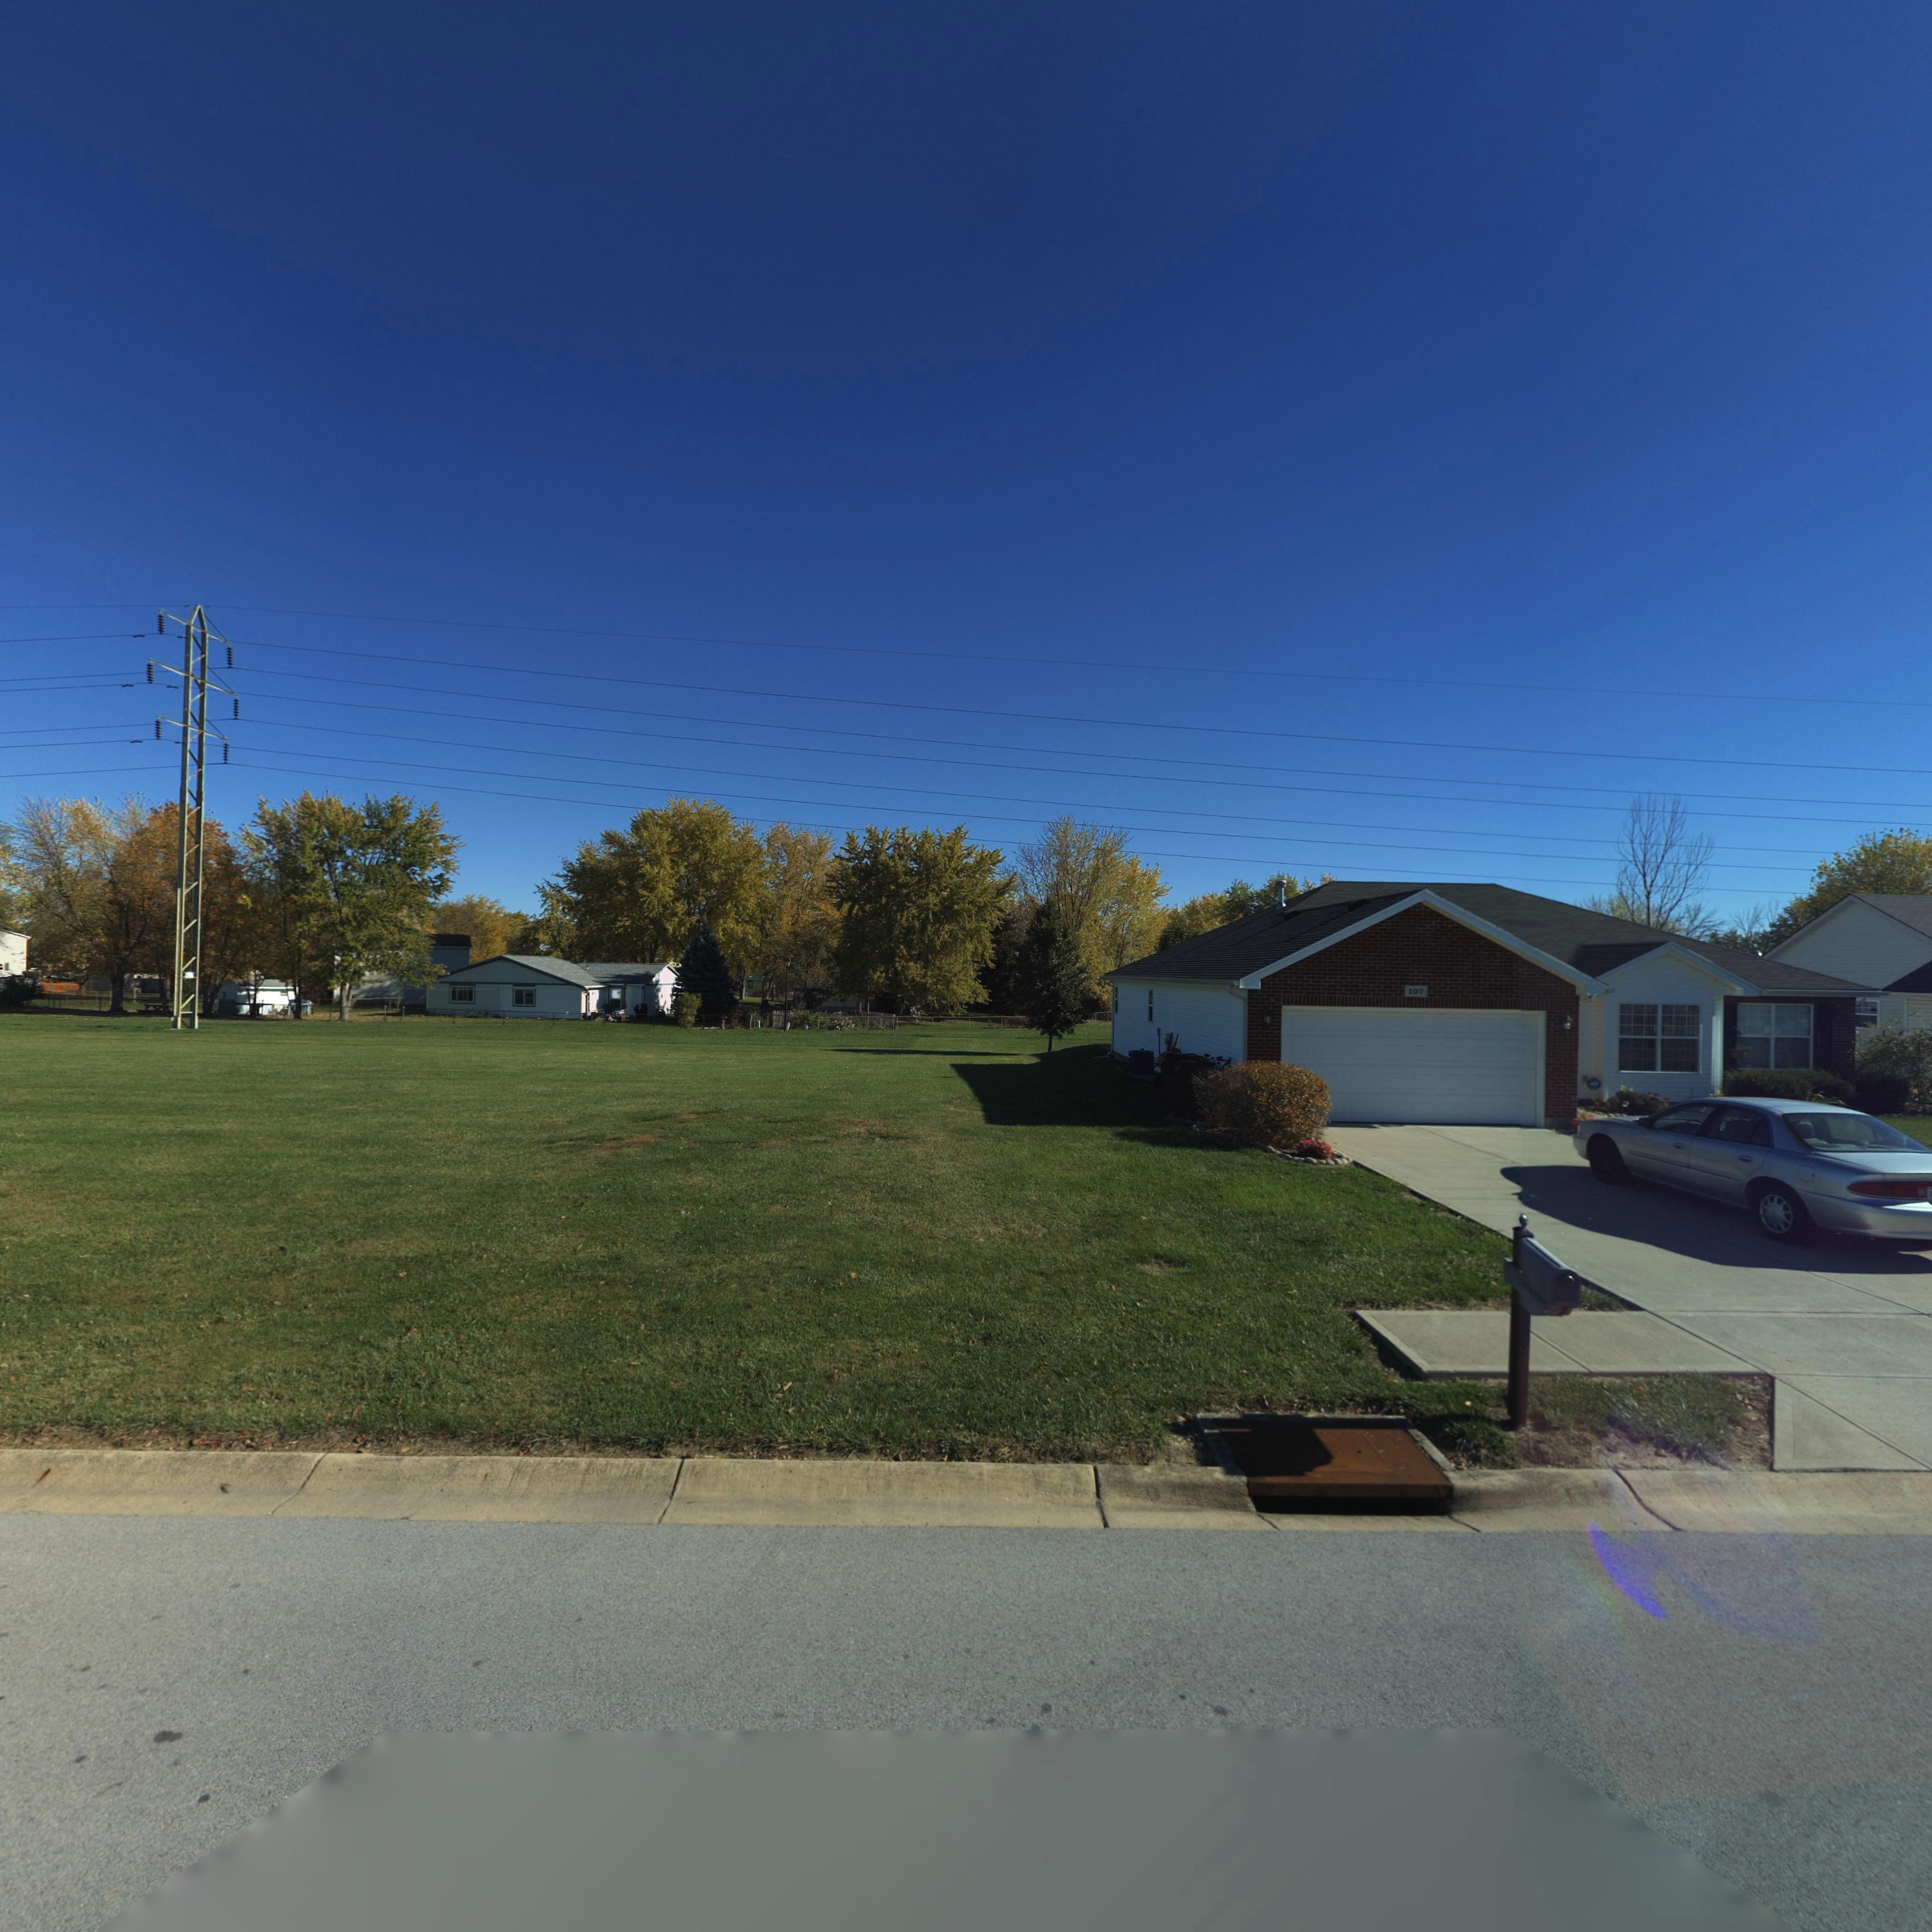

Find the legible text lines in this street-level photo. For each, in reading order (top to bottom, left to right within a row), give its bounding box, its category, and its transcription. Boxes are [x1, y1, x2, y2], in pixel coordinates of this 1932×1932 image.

[1408, 987, 1425, 995] StreetNumber: 107